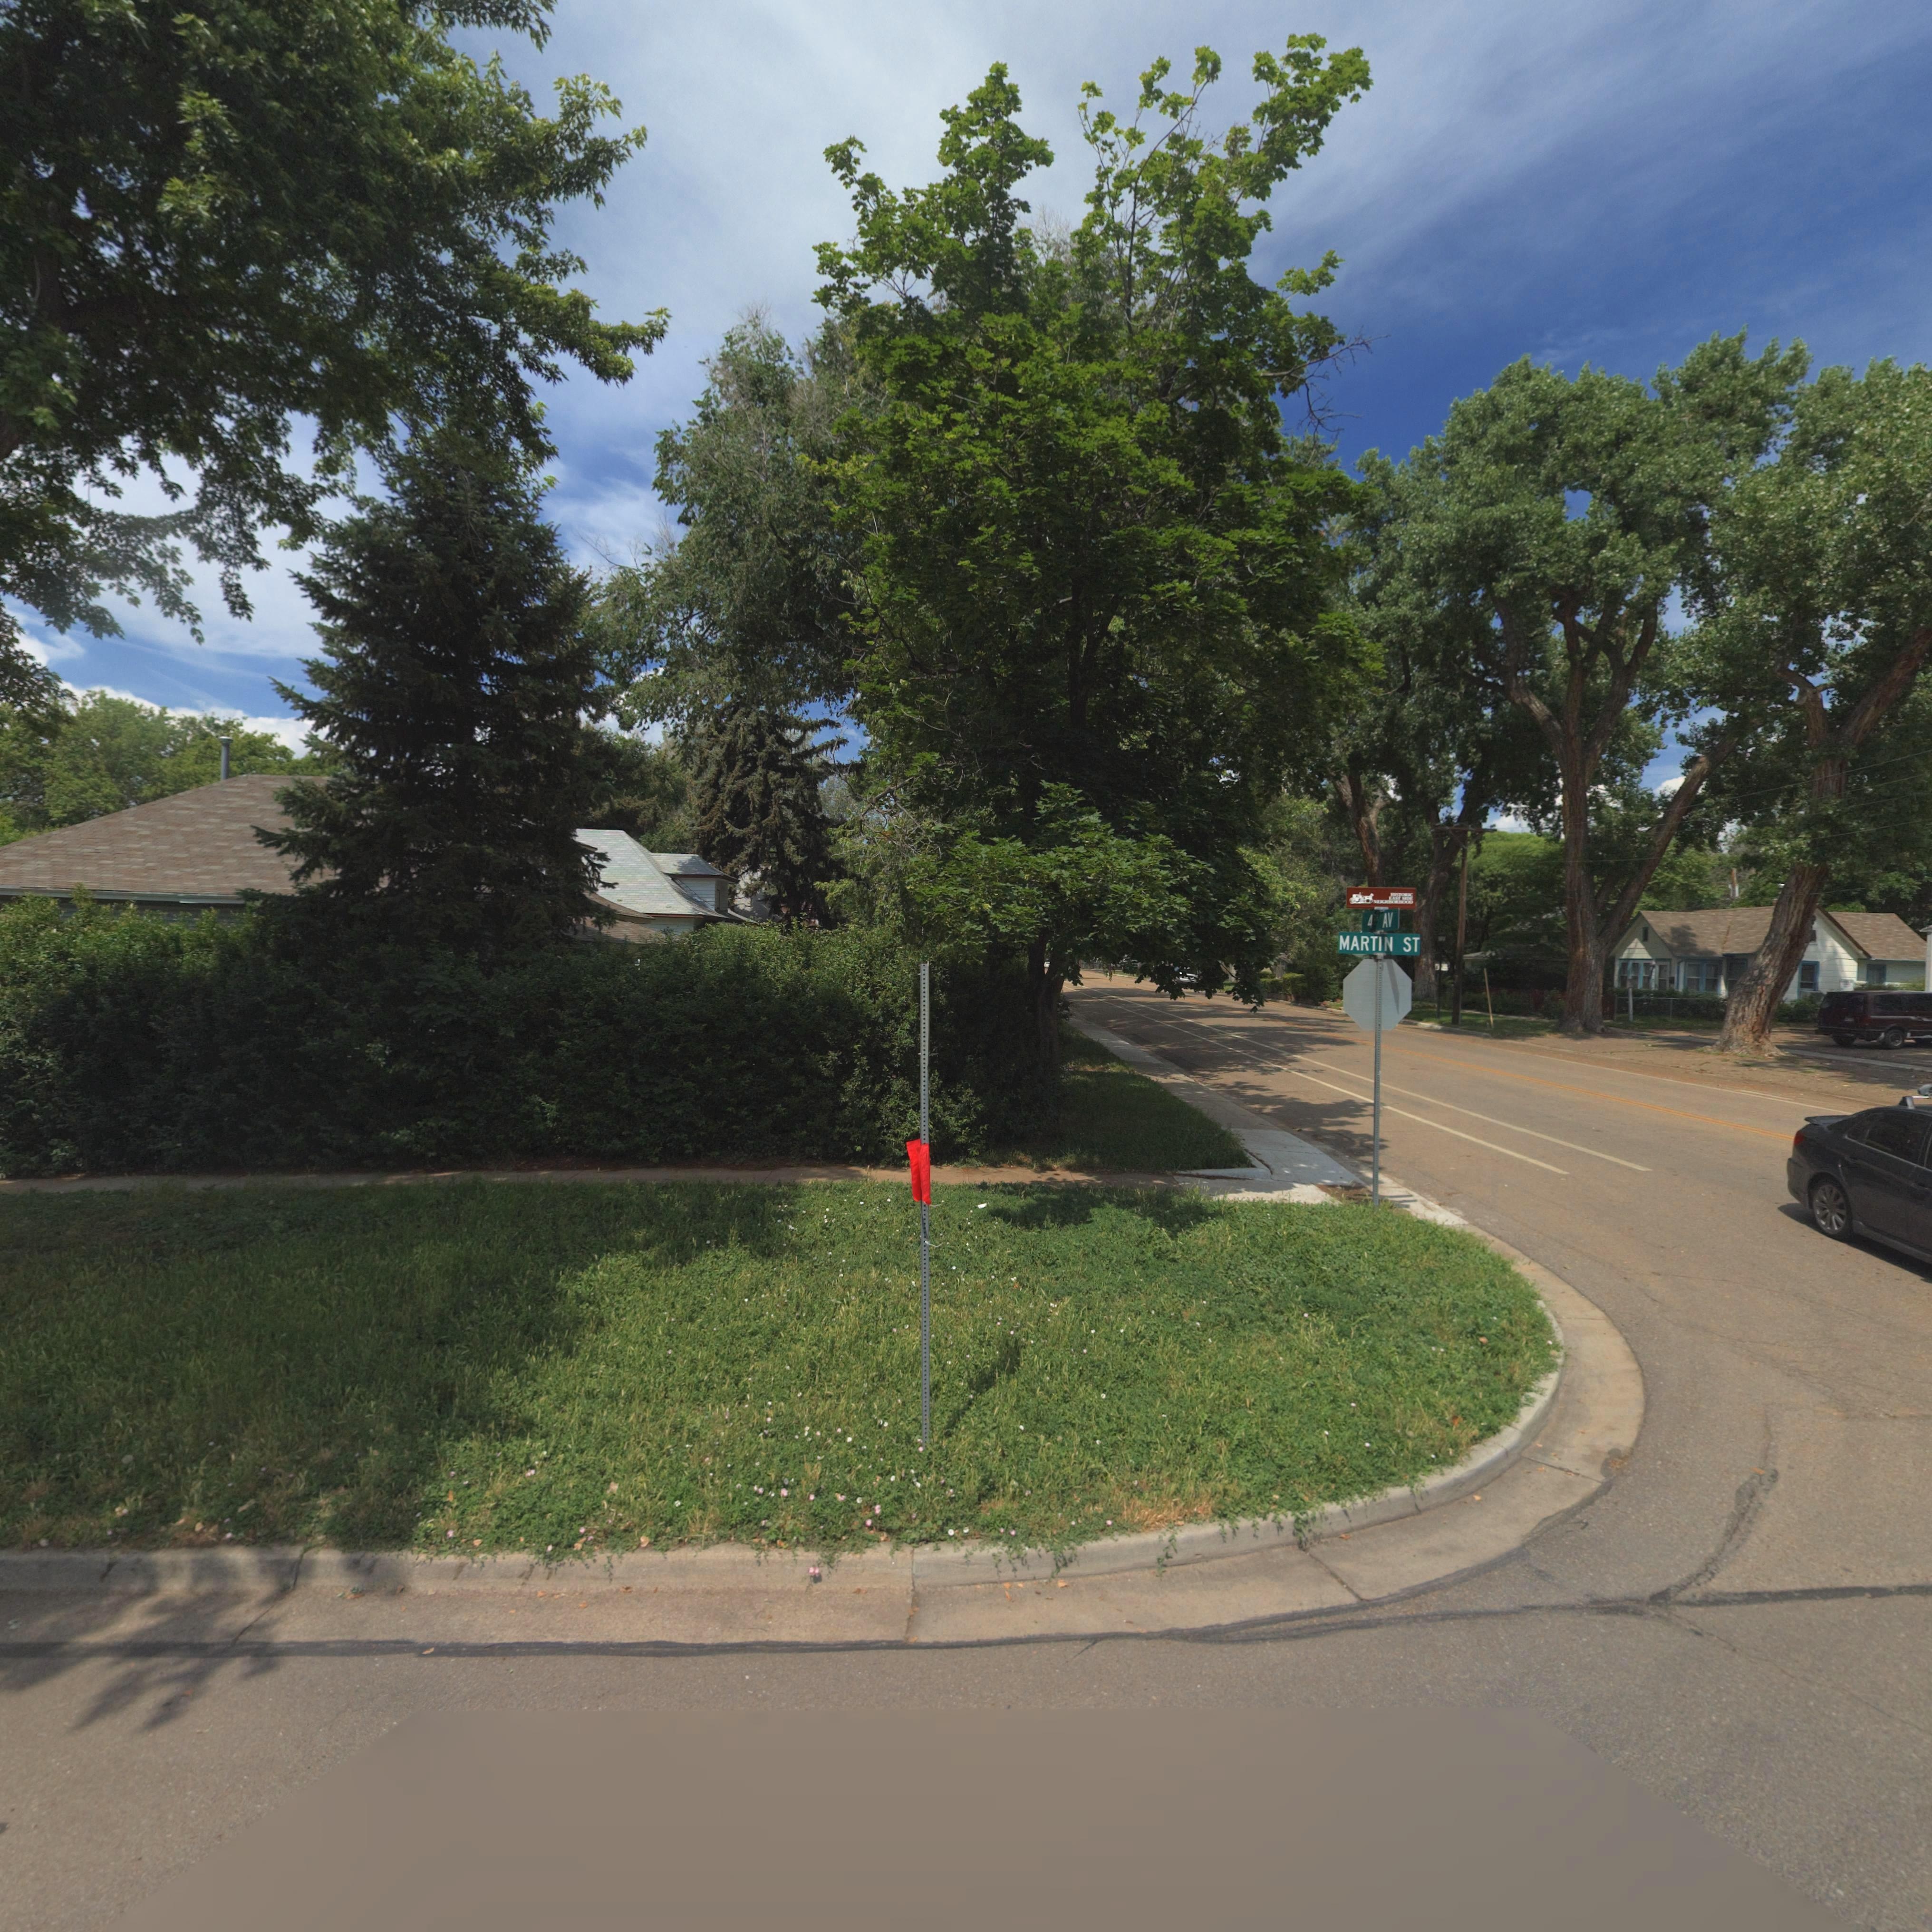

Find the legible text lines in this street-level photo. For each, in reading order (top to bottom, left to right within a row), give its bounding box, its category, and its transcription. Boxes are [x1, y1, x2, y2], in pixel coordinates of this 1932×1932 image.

[1366, 911, 1394, 929] StreetName: 4** AV
[1339, 934, 1420, 953] StreetName: MARTIN ST